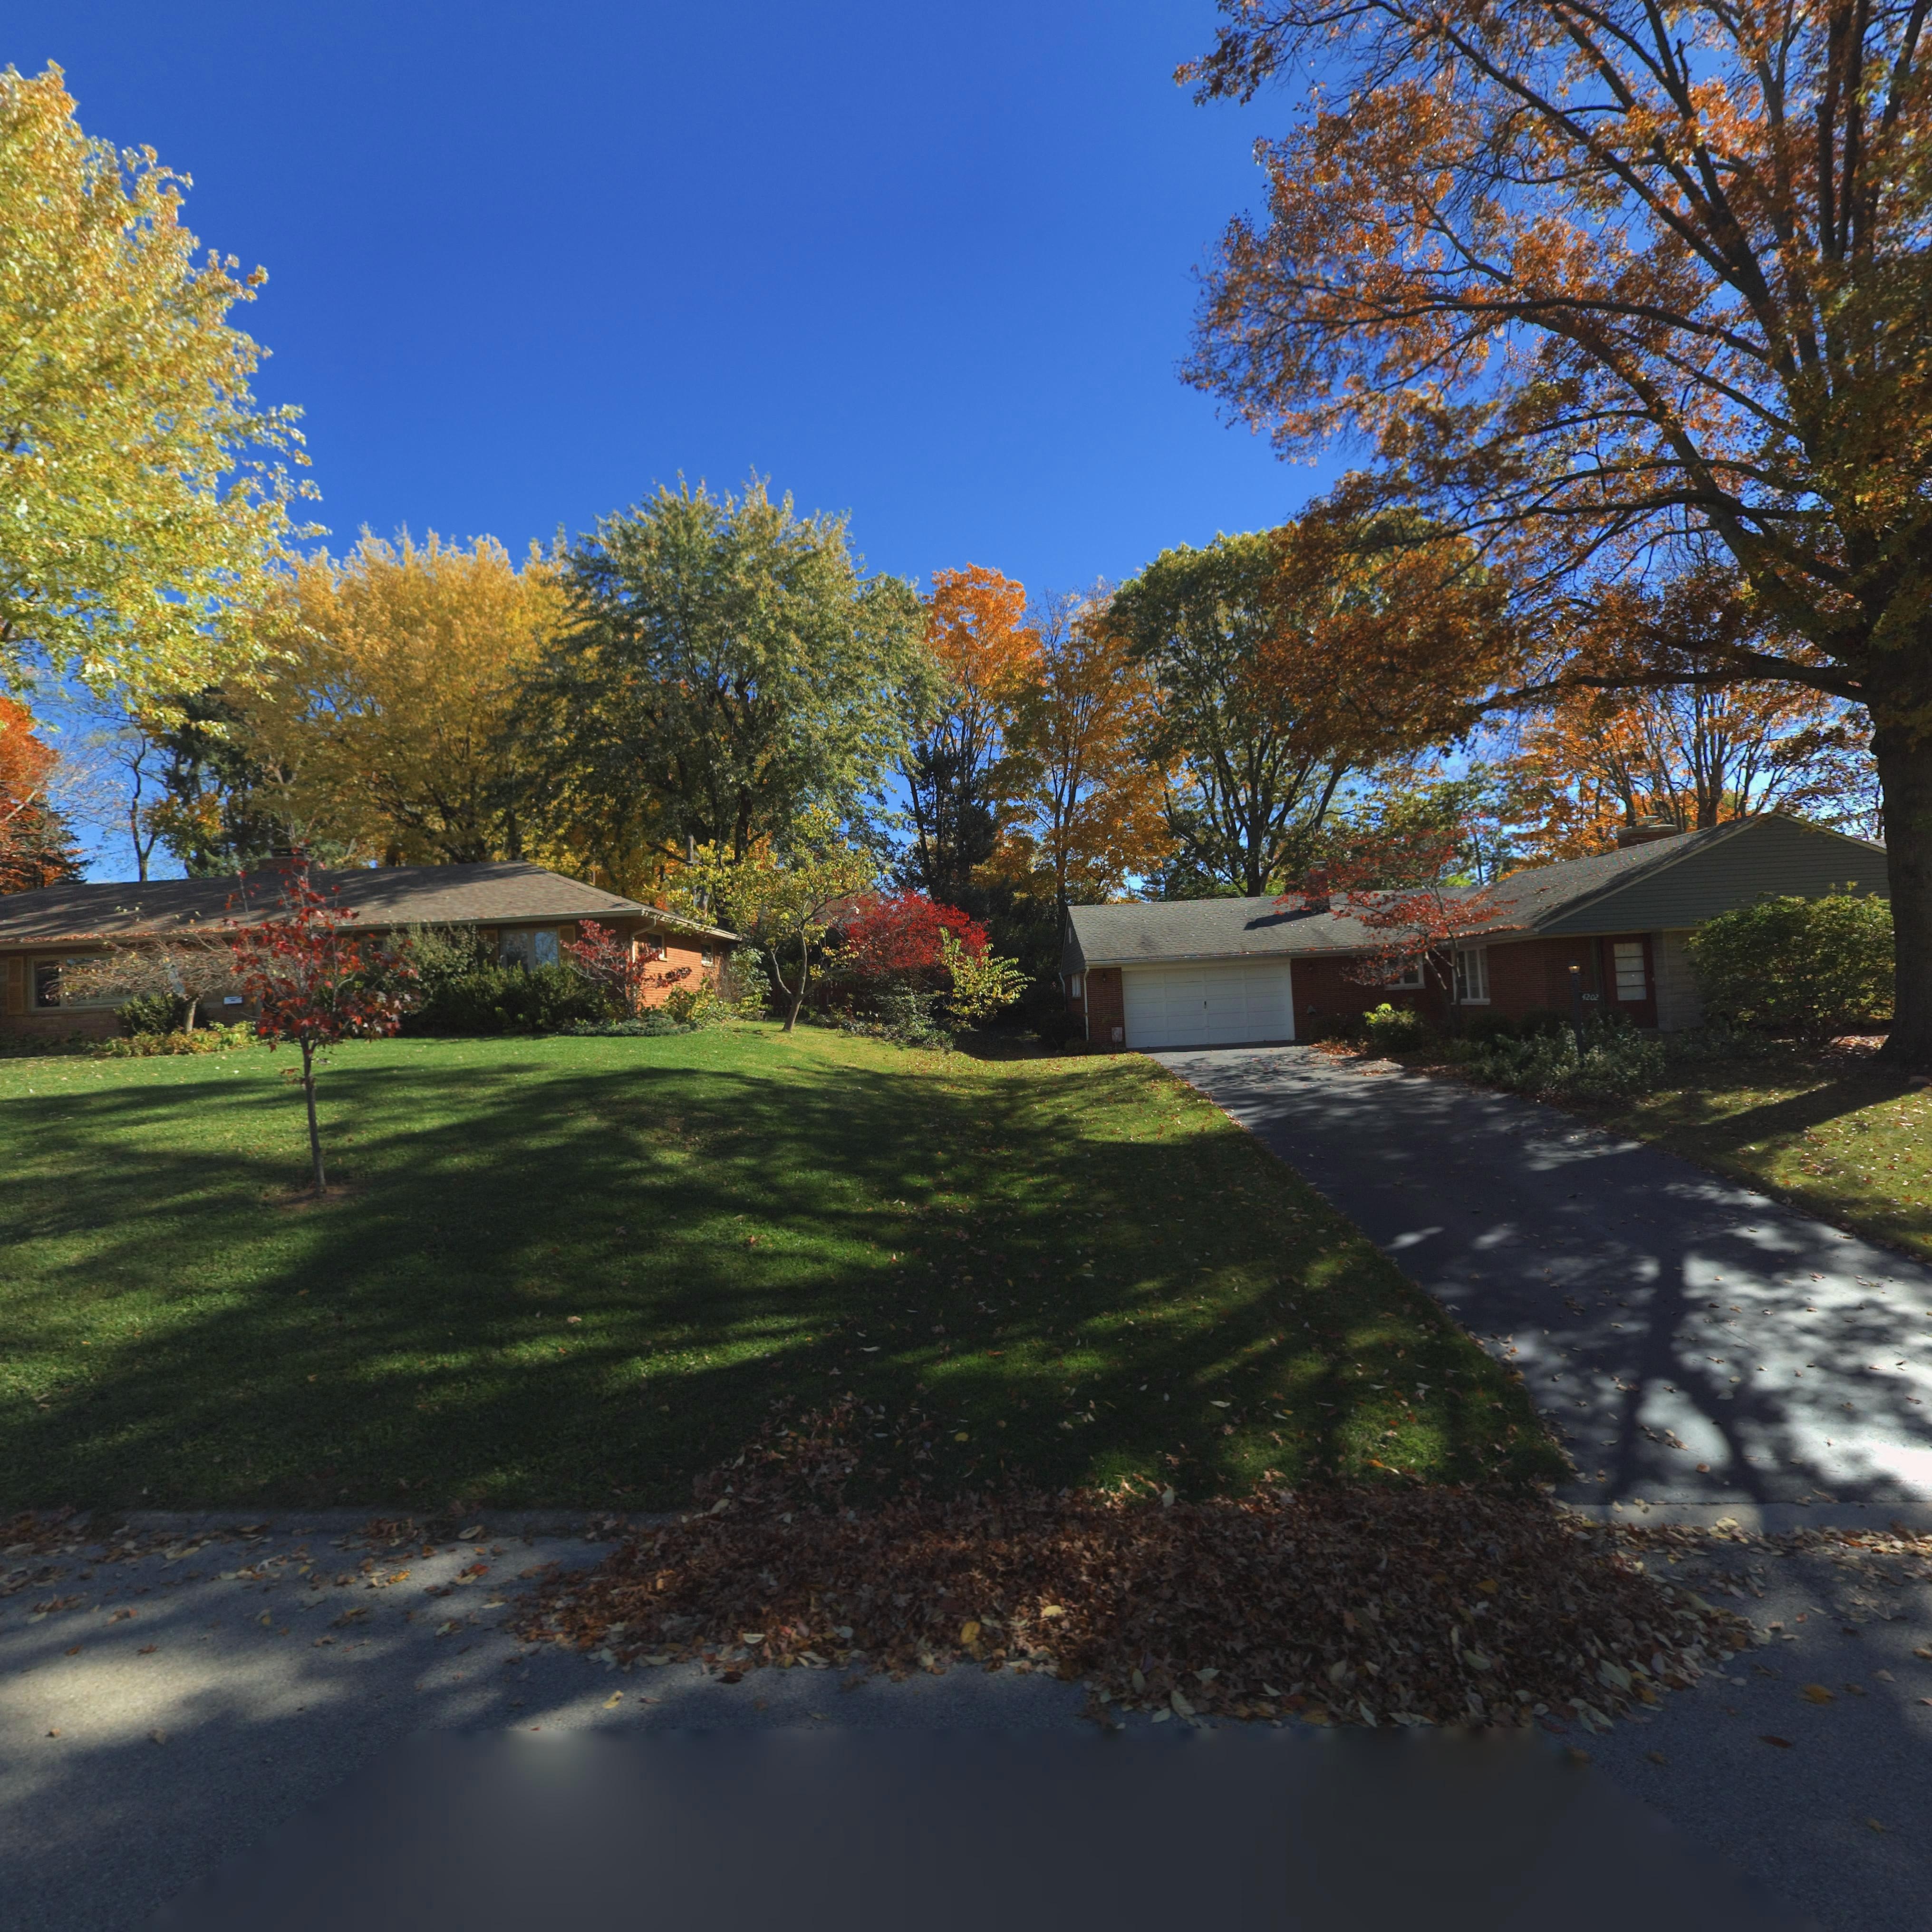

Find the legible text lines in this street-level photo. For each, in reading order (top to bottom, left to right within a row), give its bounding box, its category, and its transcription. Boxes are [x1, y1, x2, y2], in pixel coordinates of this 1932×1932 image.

[1581, 993, 1600, 1001] StreetNumber: 4202